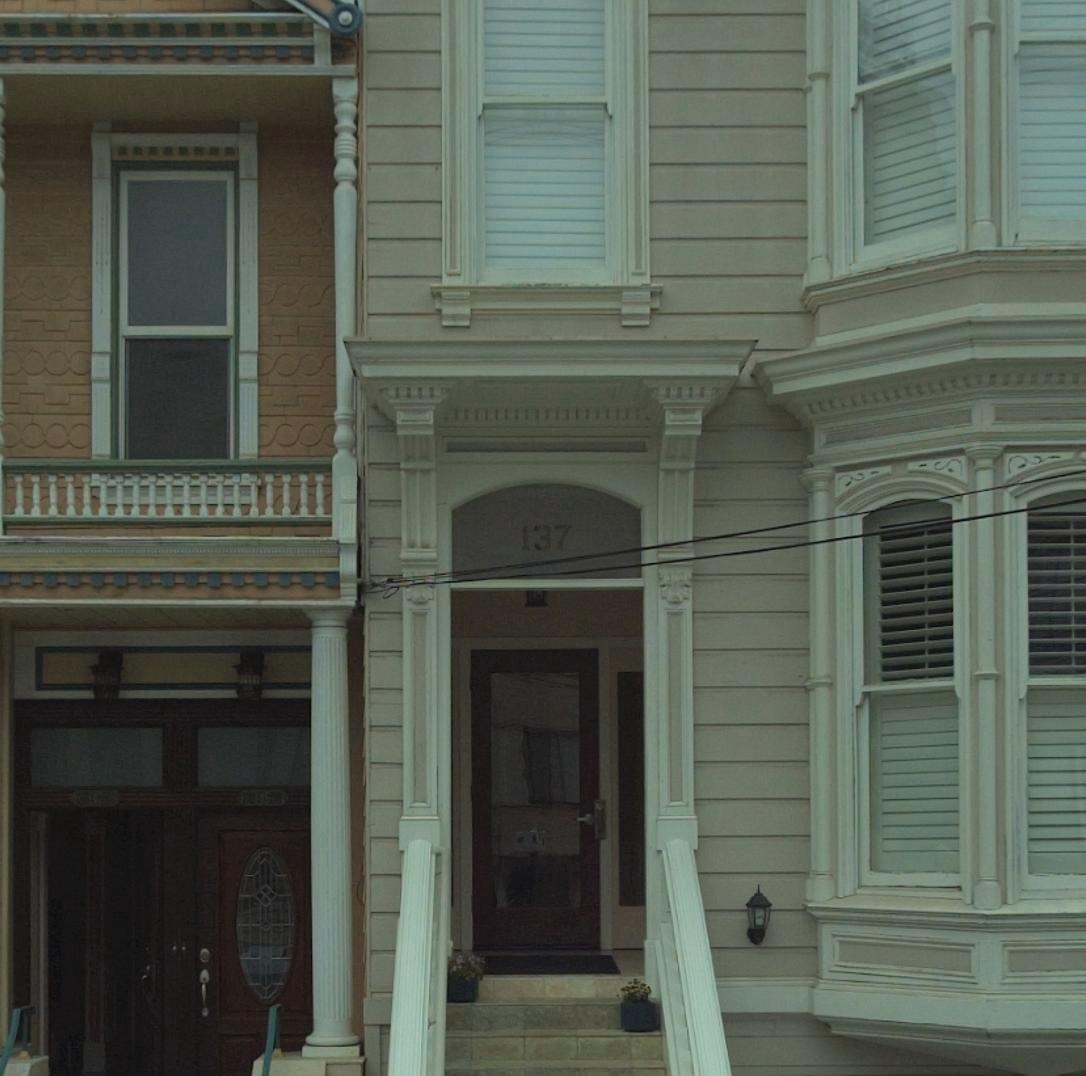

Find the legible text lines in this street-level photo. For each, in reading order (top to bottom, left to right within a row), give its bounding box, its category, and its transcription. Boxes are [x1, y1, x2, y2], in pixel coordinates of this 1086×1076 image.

[518, 522, 574, 554] StreetNumber: 137